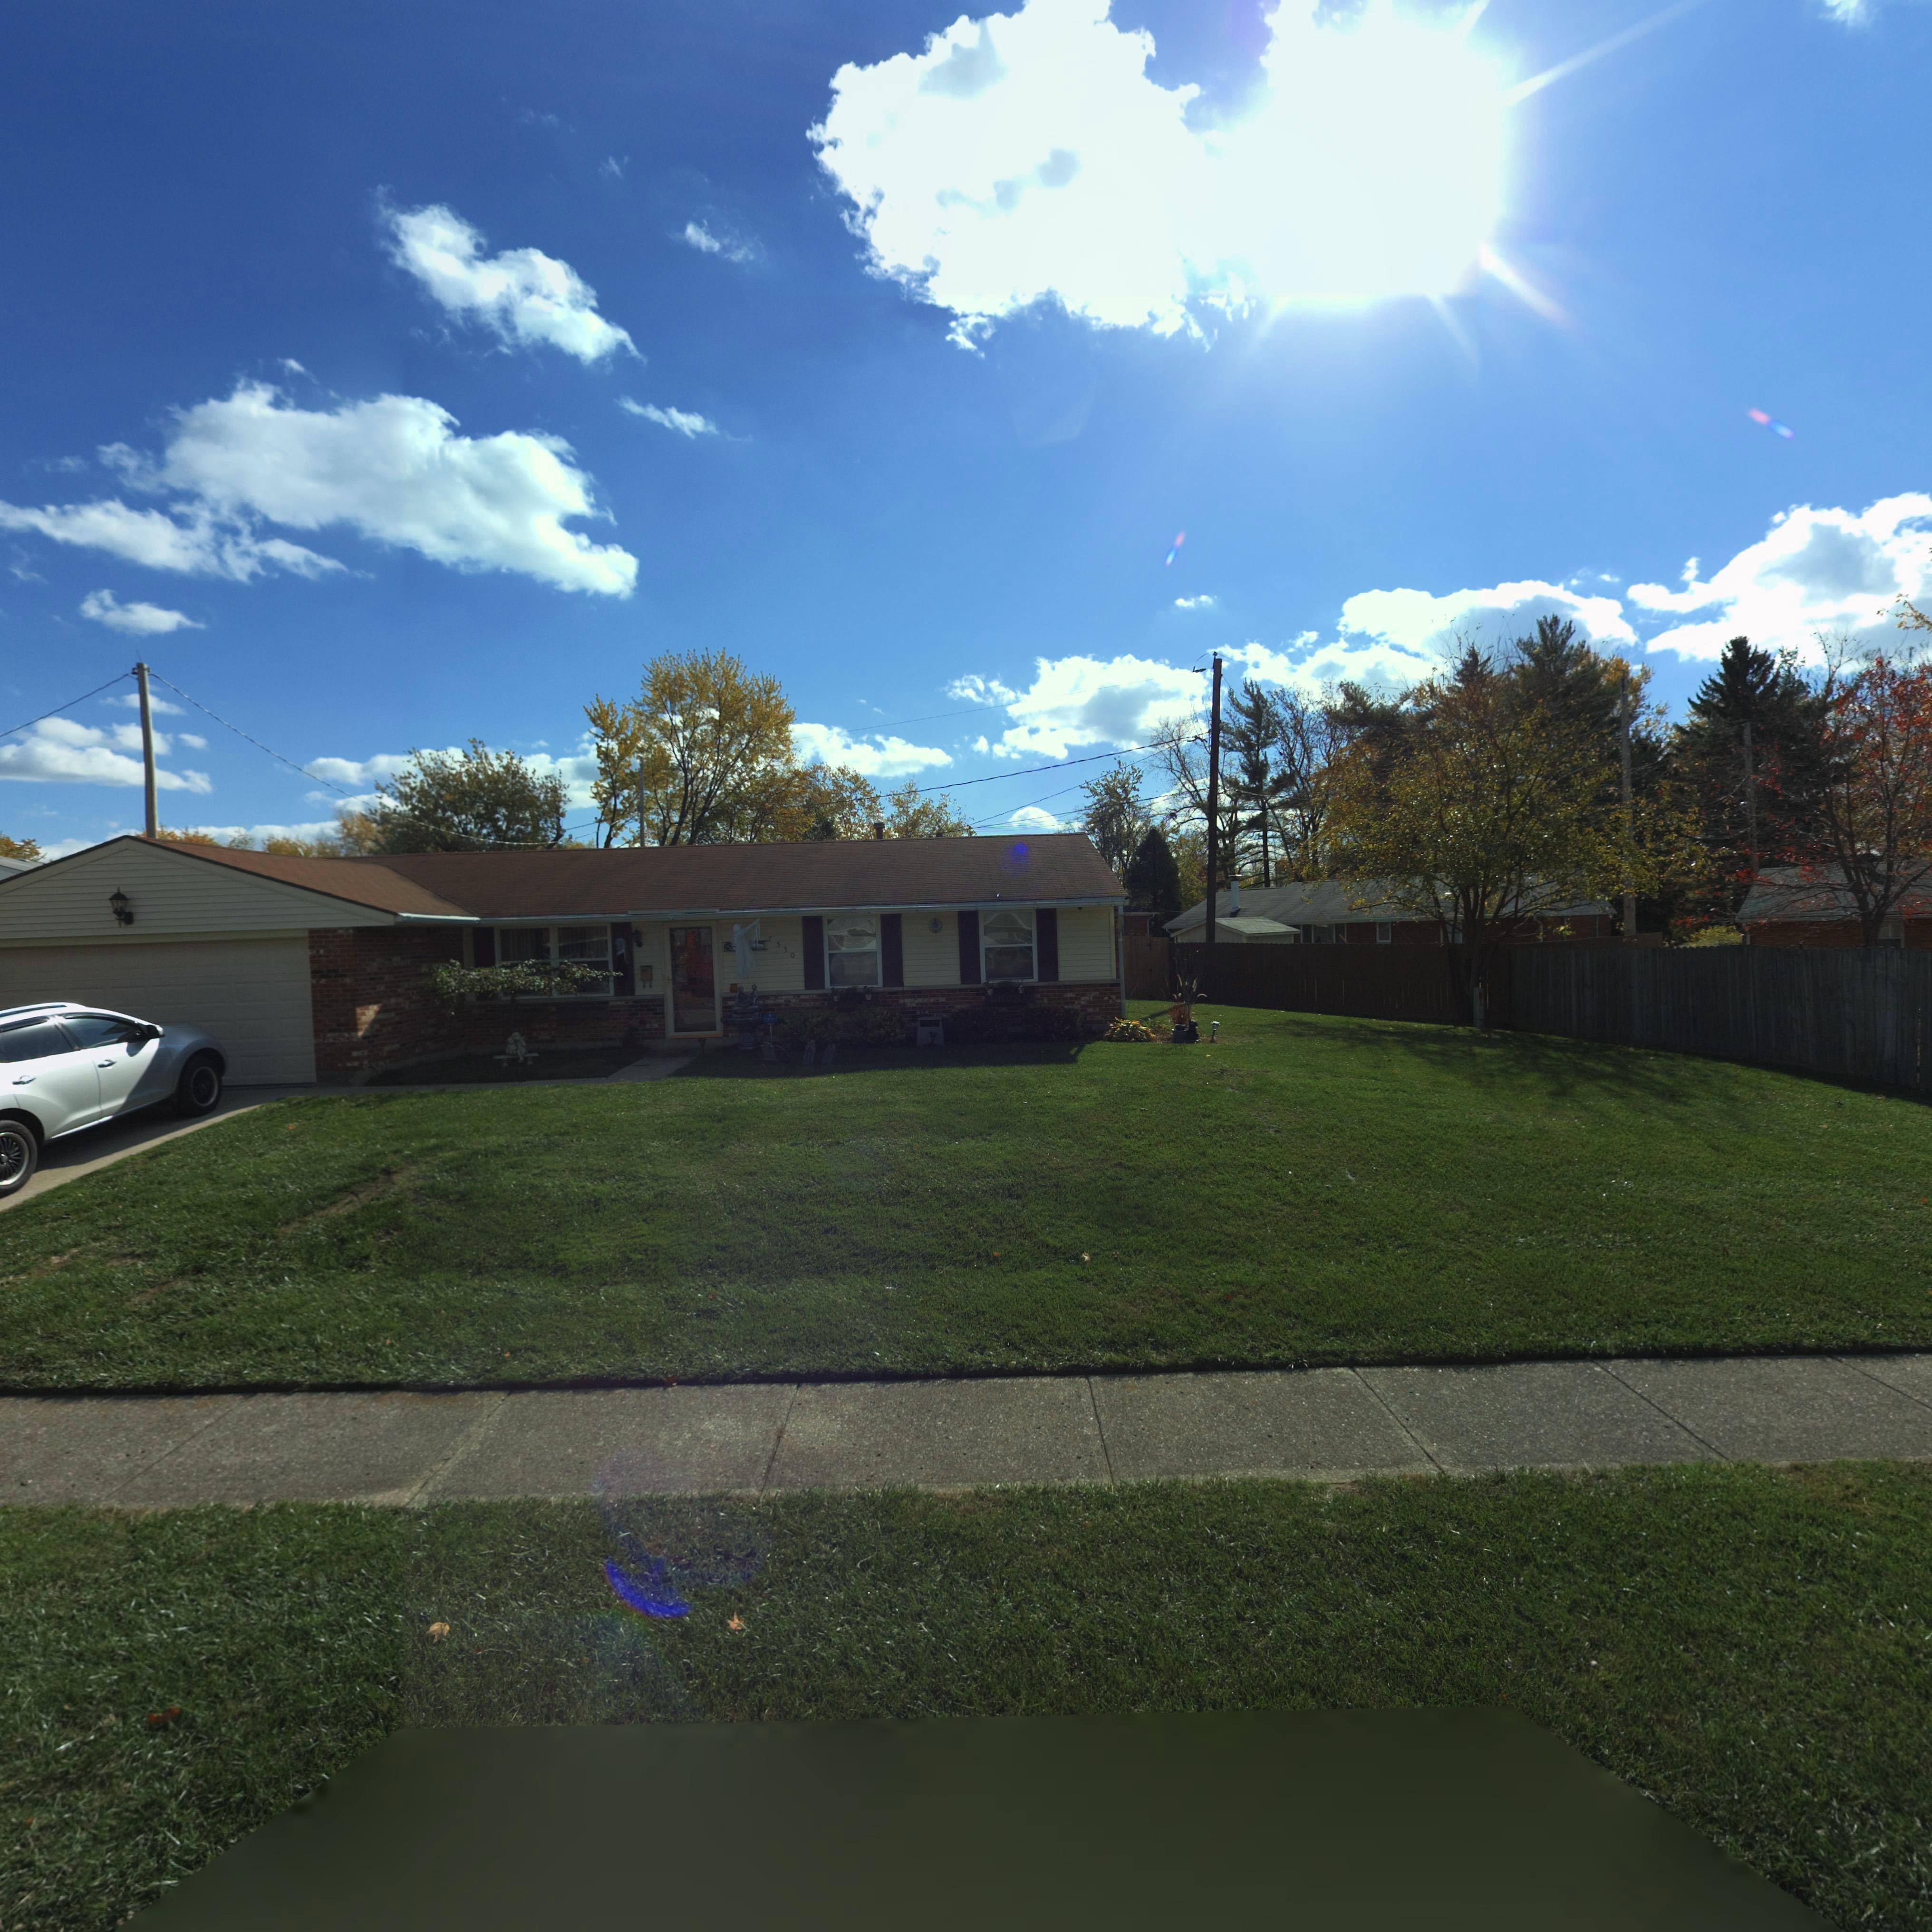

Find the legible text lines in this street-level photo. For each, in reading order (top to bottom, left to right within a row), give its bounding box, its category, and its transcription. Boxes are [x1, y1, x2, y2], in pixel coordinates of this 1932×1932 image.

[768, 935, 796, 959] StreetNumber: 7550